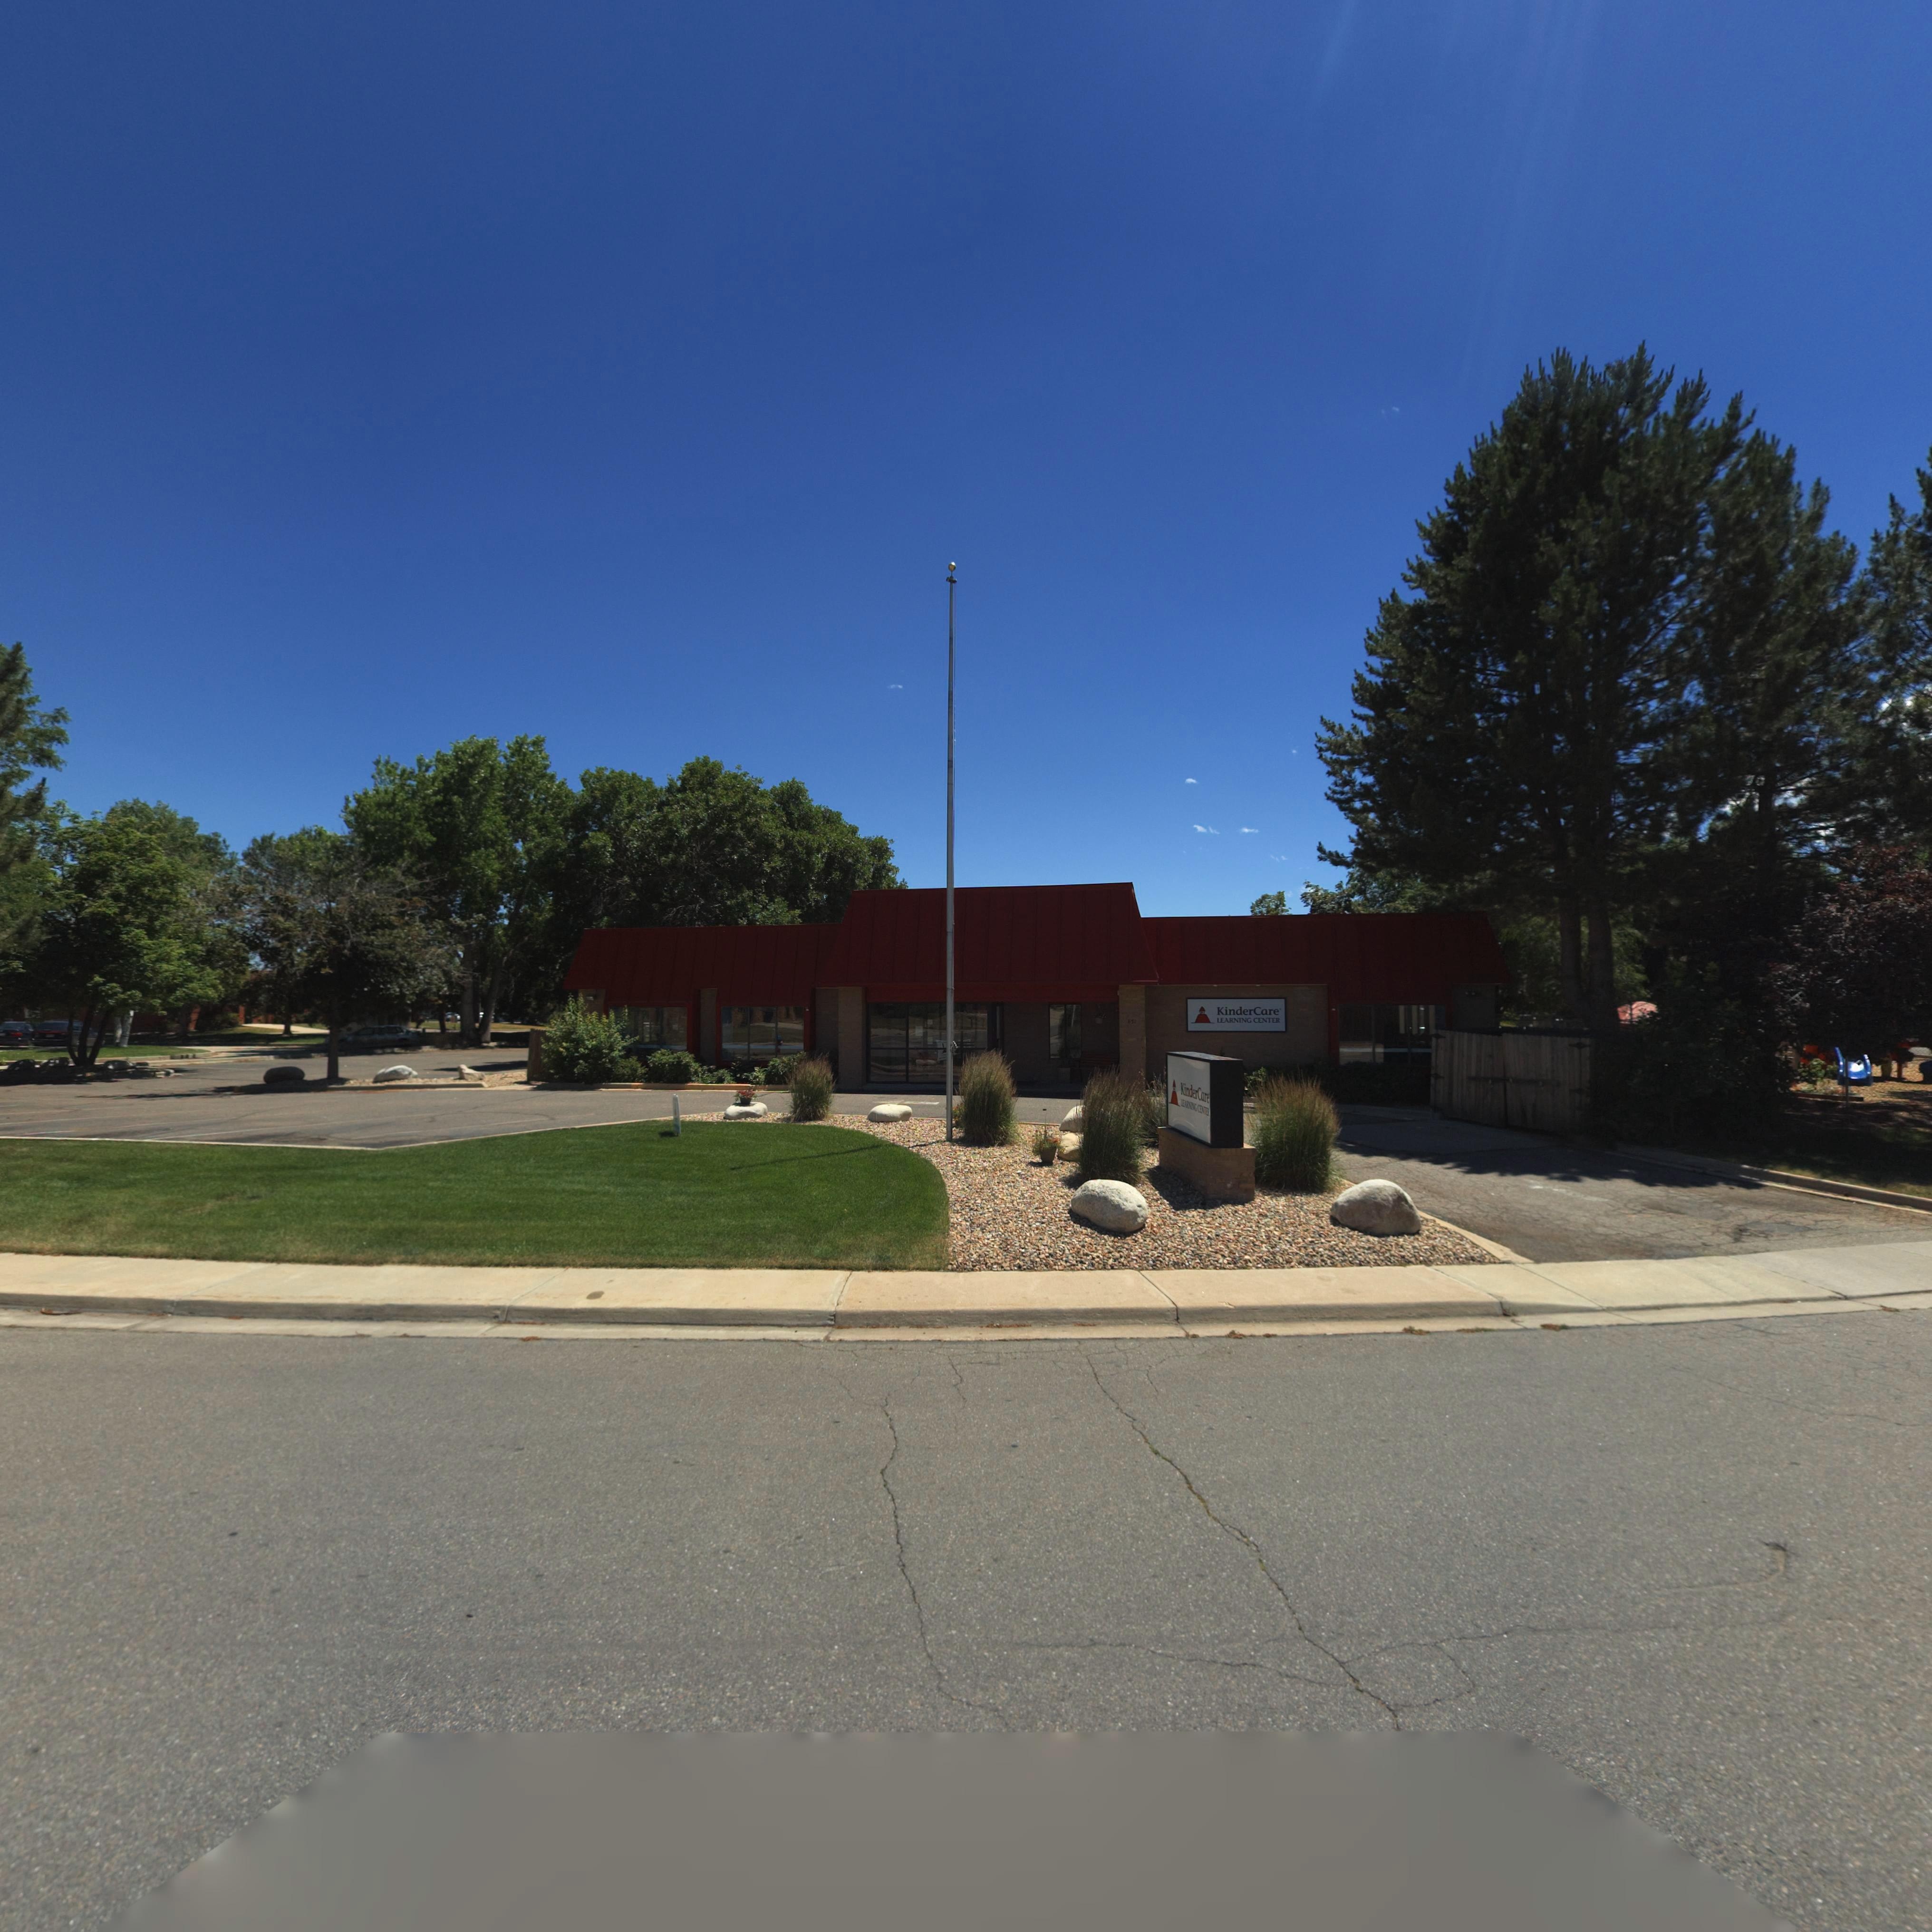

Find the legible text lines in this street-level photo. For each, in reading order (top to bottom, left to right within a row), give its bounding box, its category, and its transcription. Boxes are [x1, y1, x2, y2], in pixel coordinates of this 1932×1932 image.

[1217, 1006, 1279, 1015] BusinessName: KinderCare
[1217, 1017, 1280, 1023] BusinessName: LEARNING CENTER
[1180, 1082, 1209, 1103] BusinessName: KinderCare
[1180, 1098, 1209, 1117] BusinessName: LEARNING CENTER